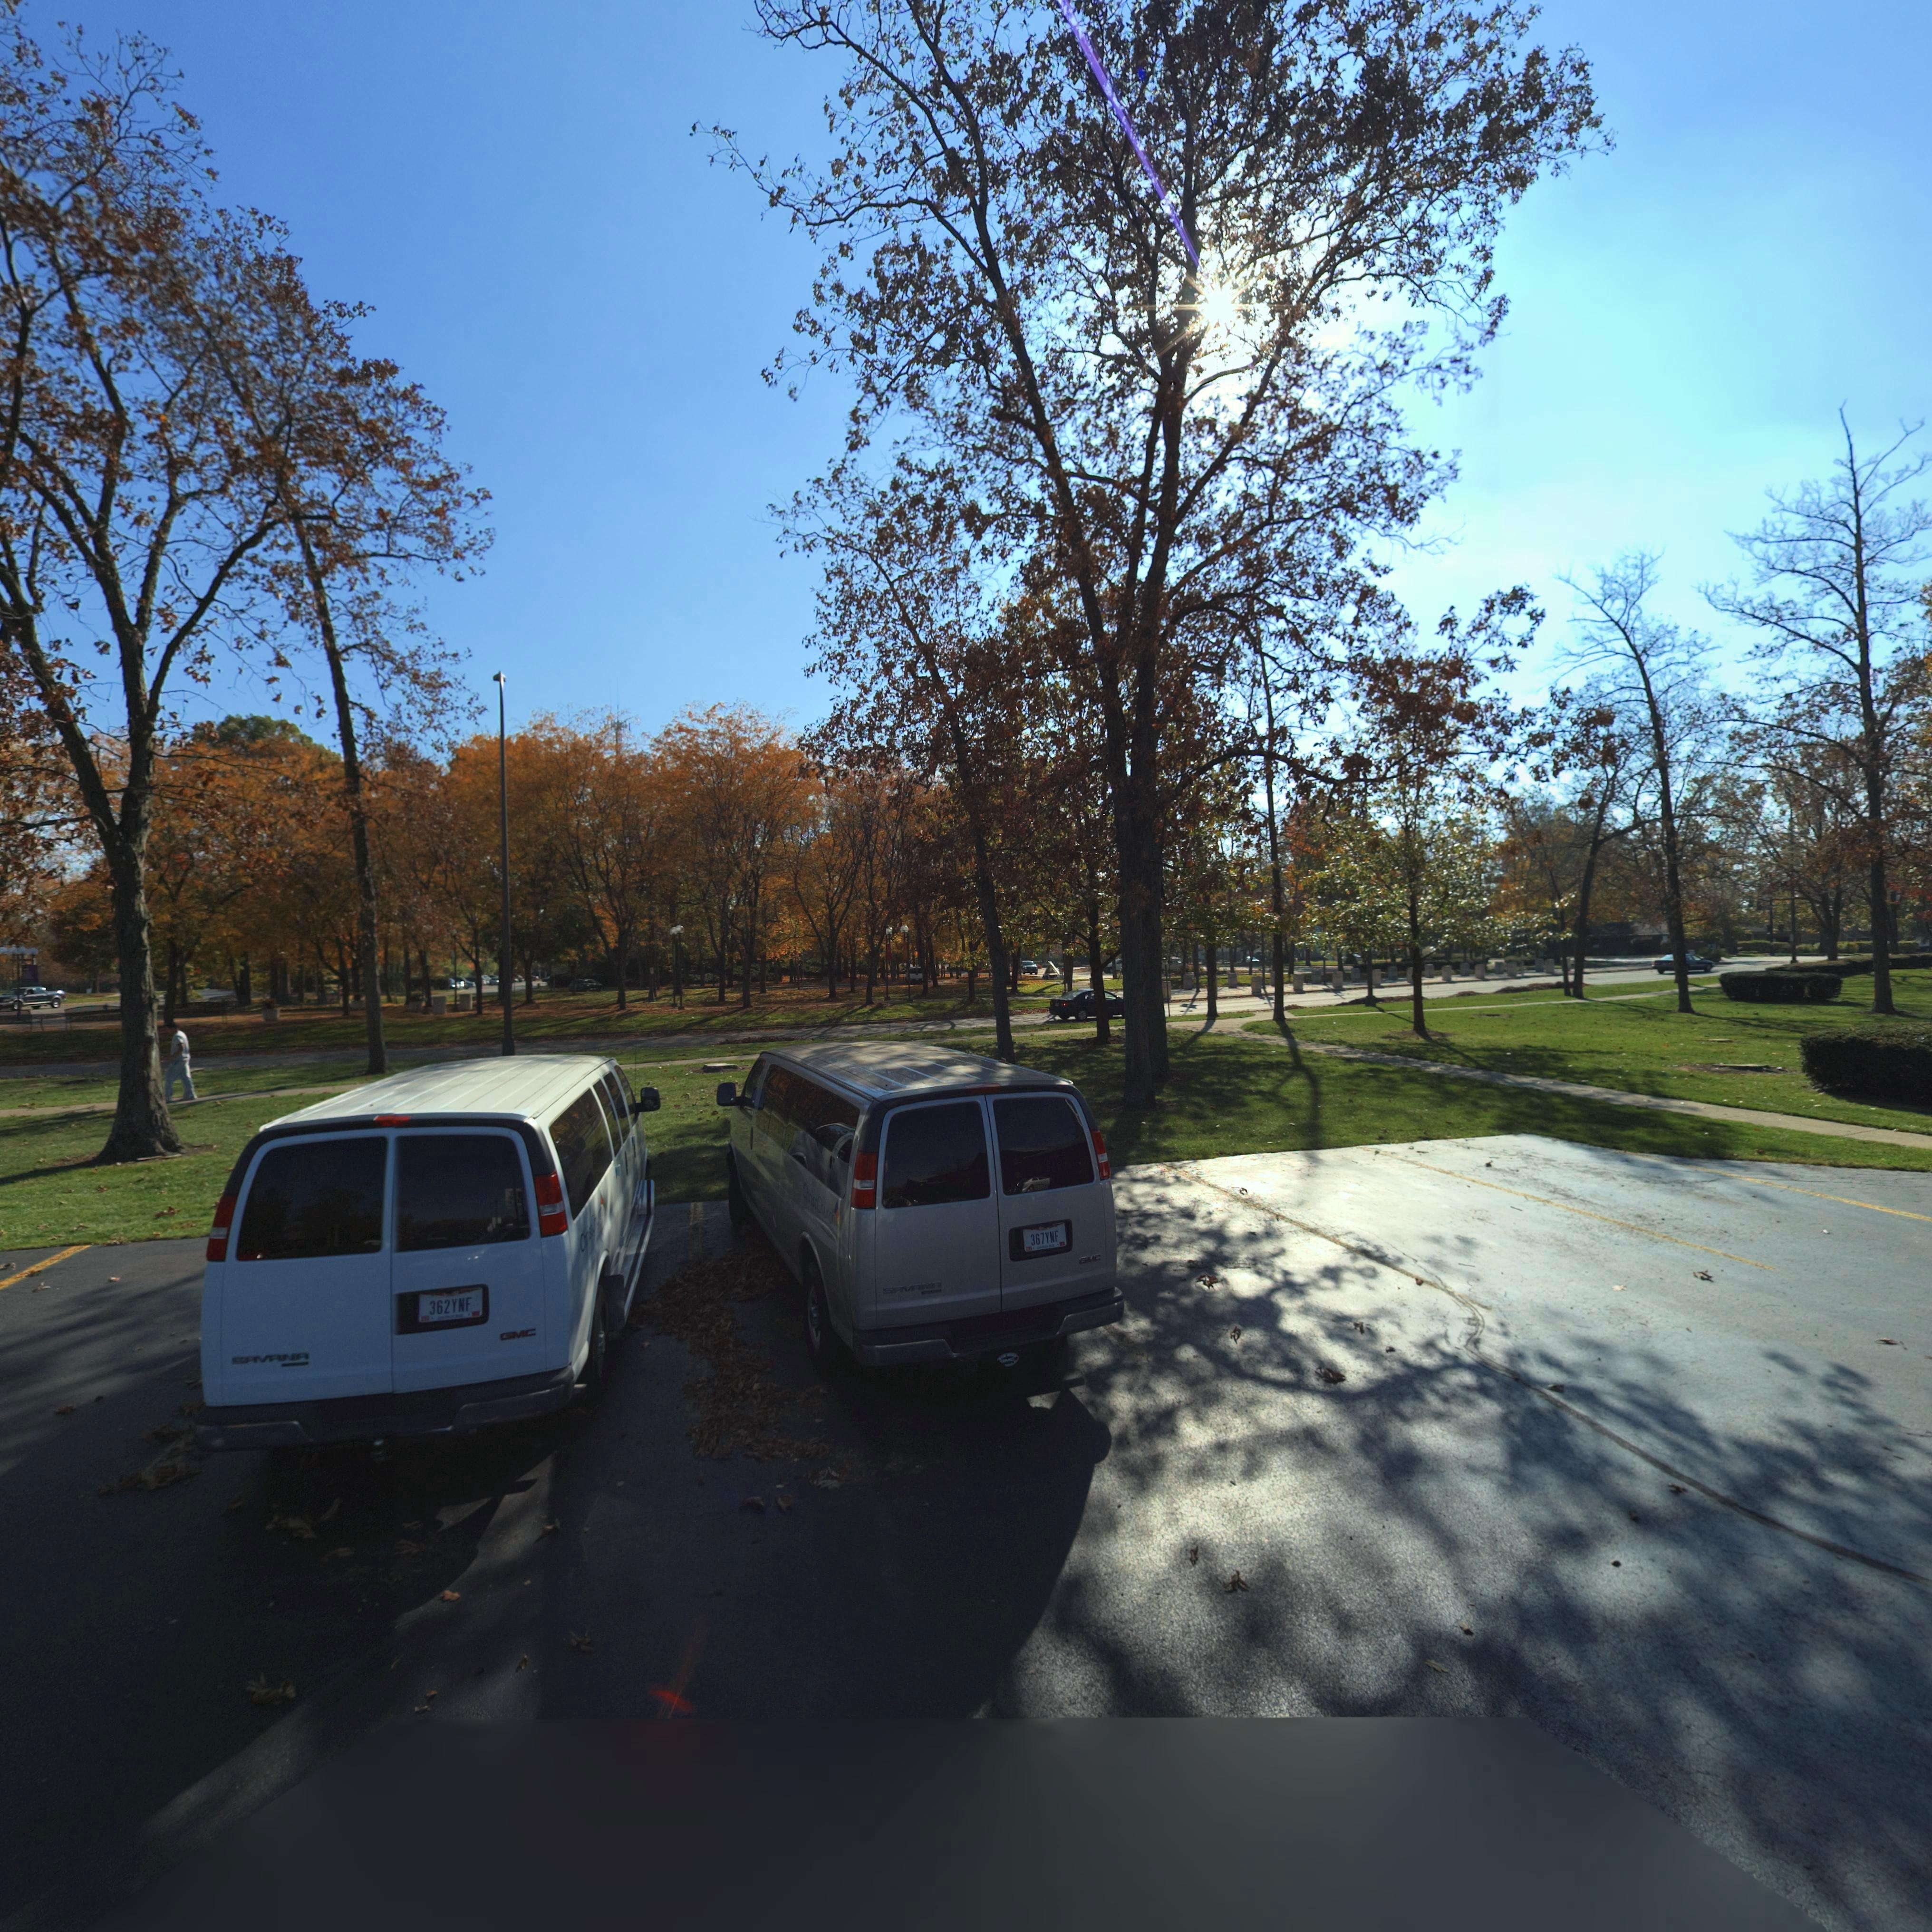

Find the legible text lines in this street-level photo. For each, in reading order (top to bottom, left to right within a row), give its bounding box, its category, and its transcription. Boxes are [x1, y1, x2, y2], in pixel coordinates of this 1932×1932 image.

[1029, 1228, 1060, 1247] None: 367YNF
[1077, 1252, 1103, 1266] None: GMC
[428, 1294, 473, 1317] None: 362YNF
[498, 1325, 538, 1343] None: GMC